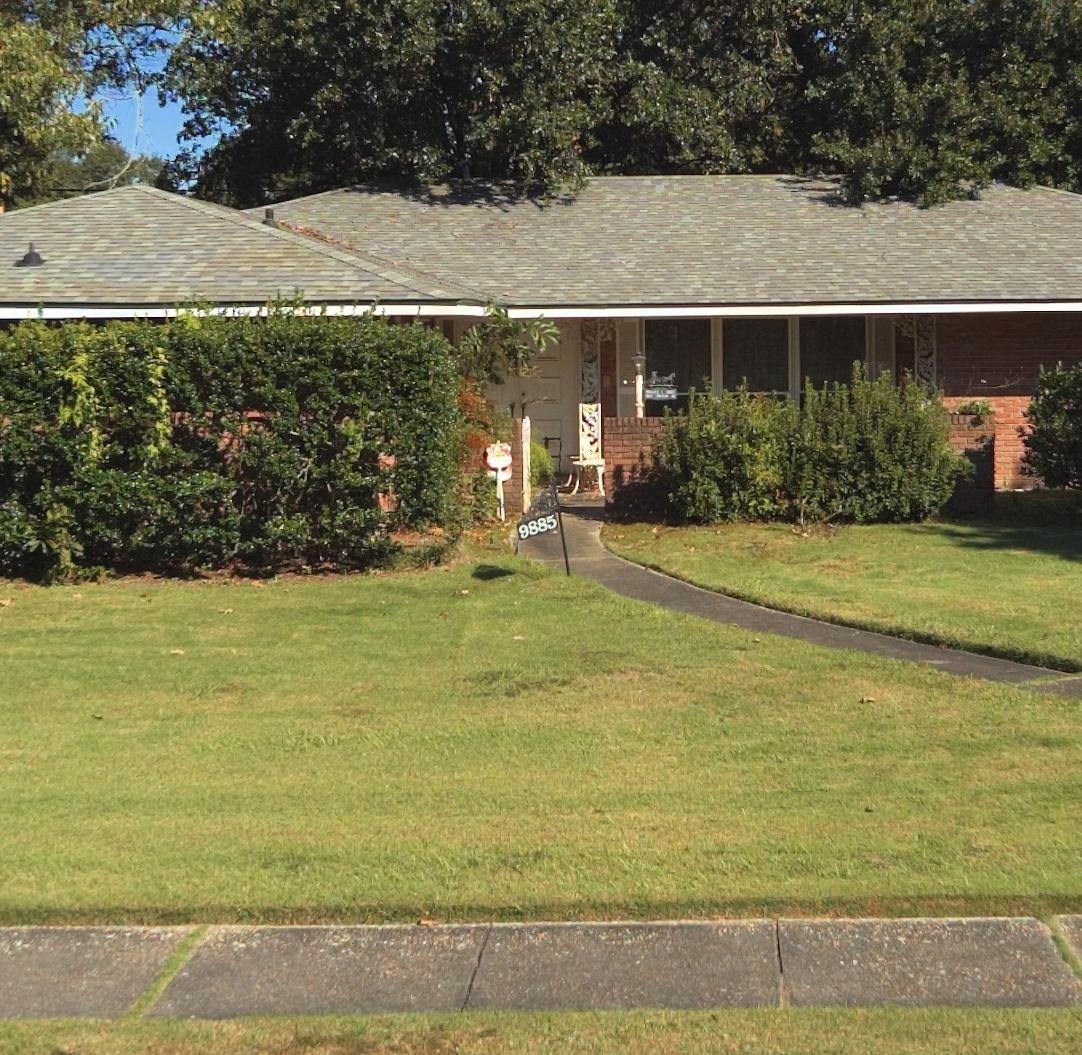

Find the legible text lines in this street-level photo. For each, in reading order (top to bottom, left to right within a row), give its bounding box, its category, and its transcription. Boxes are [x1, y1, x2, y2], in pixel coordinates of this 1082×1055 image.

[515, 511, 561, 542] StreetNumber: 9885